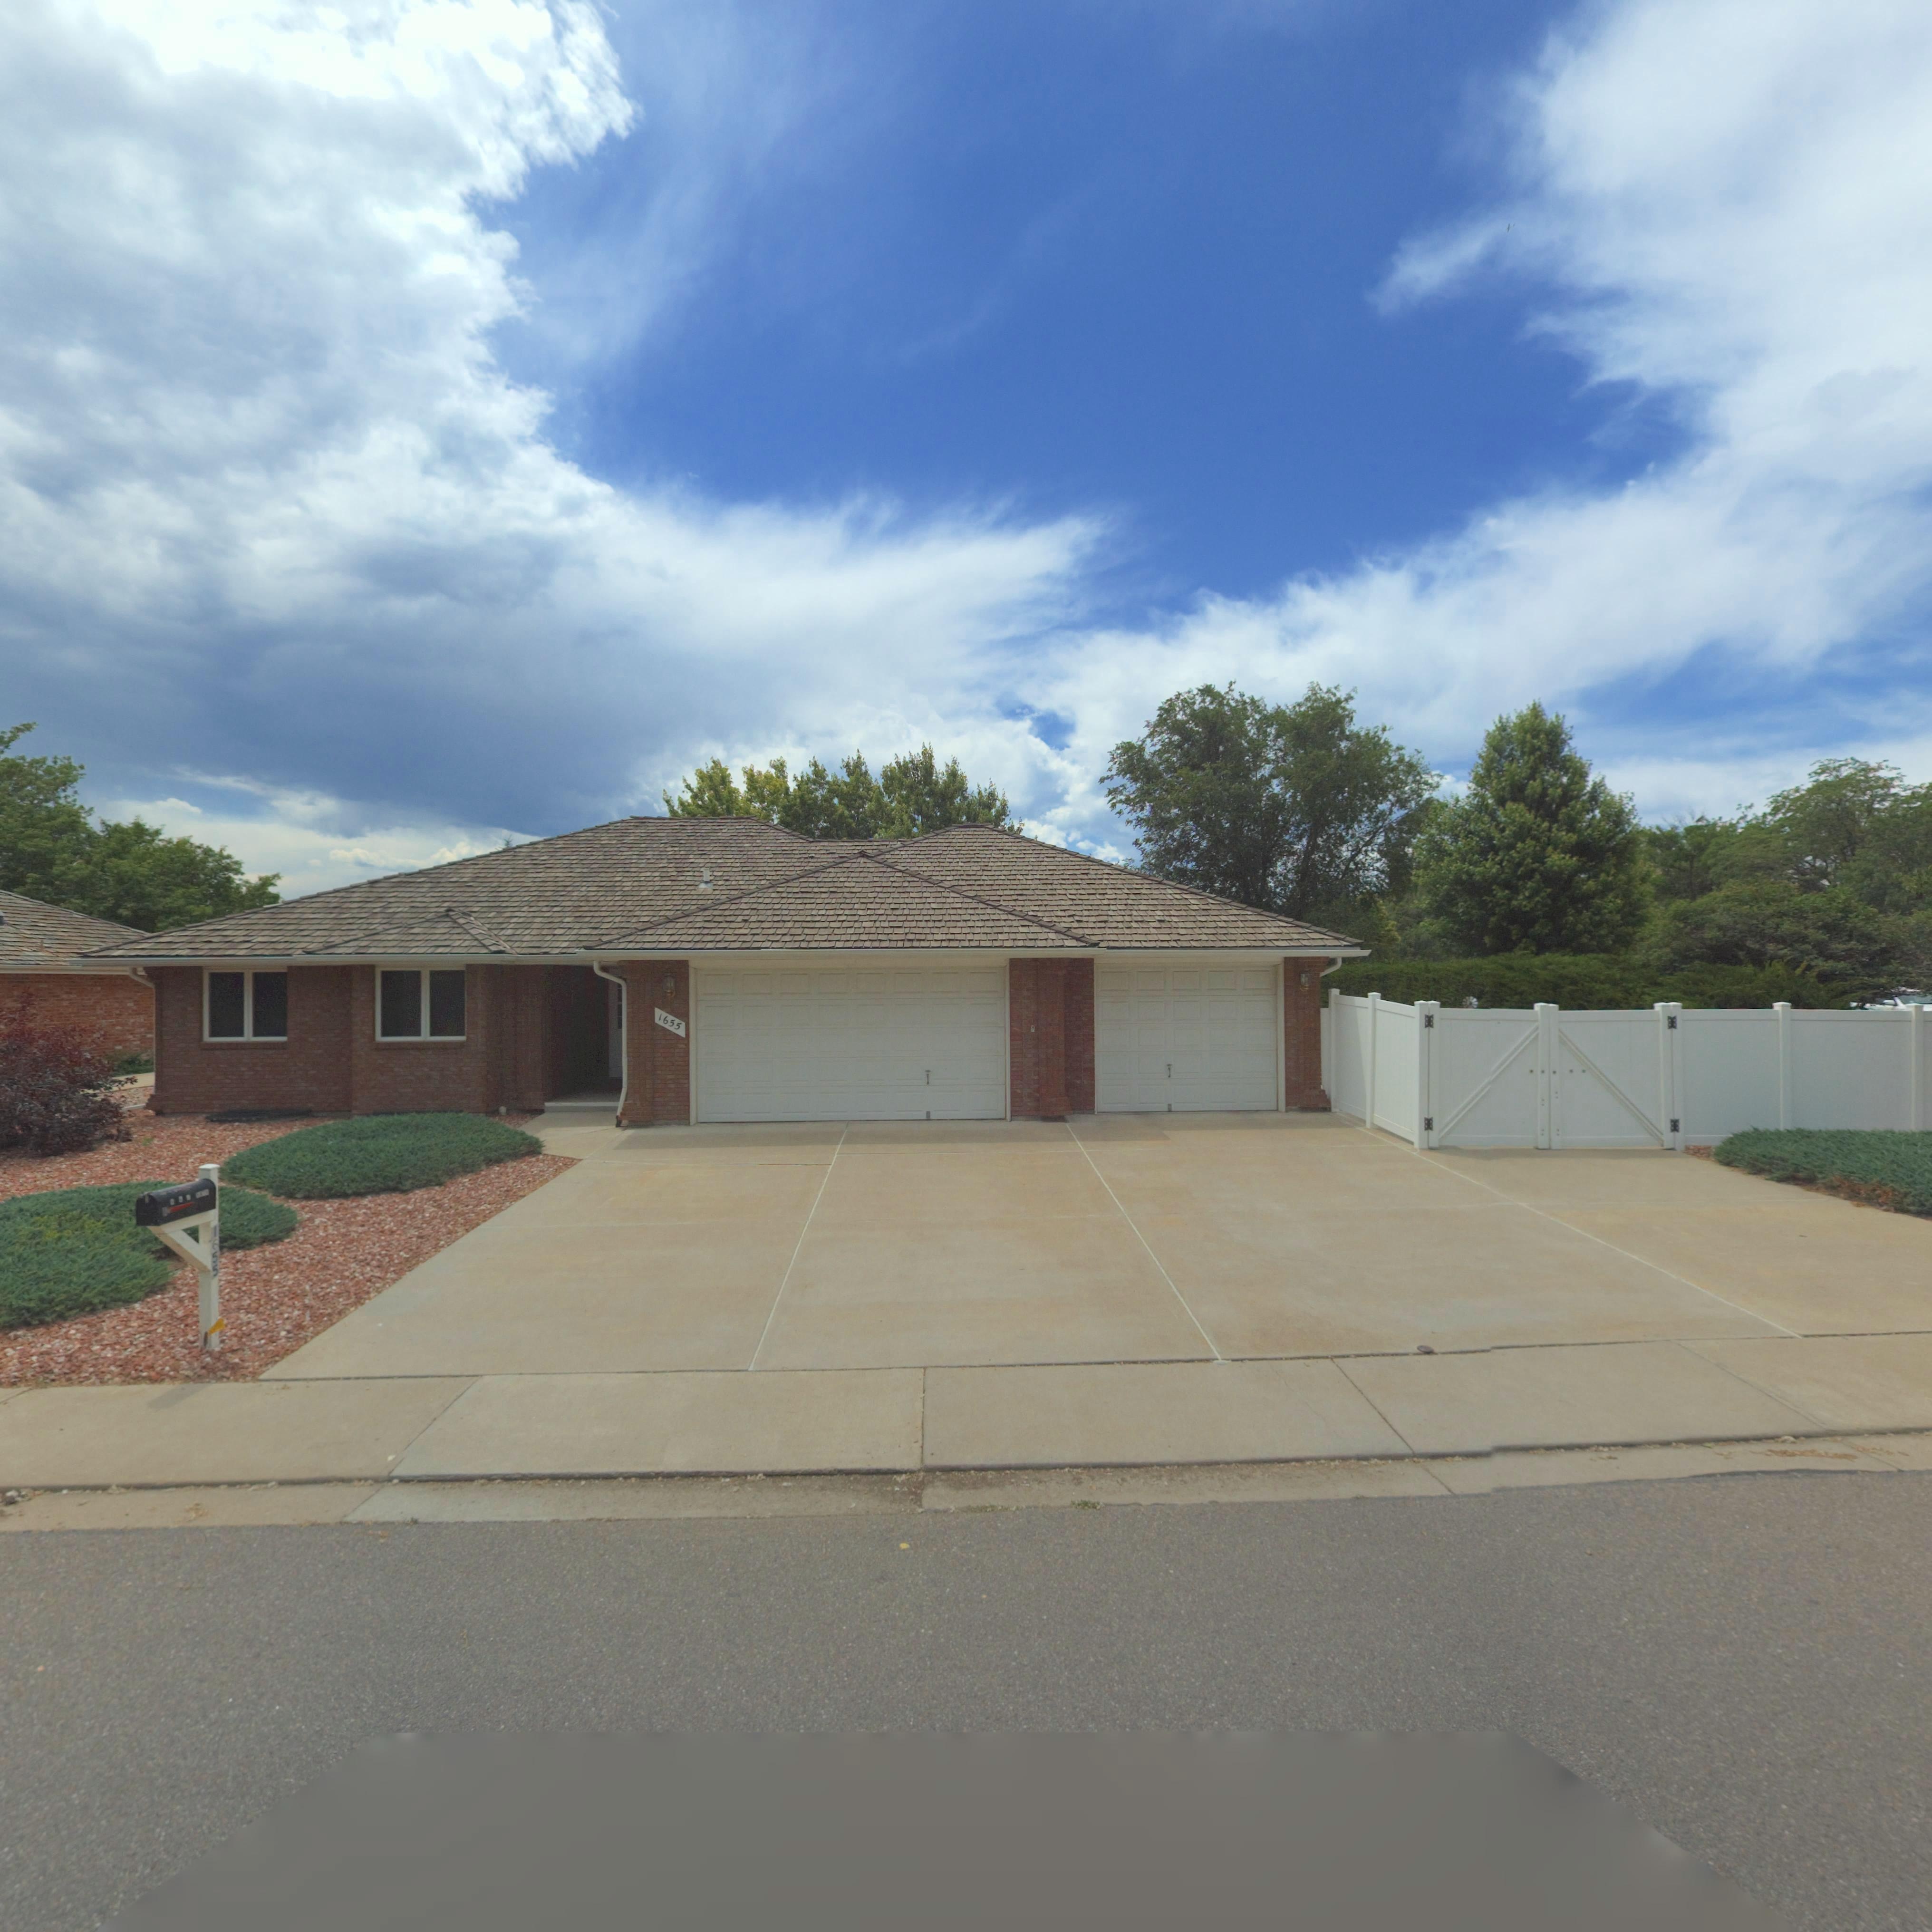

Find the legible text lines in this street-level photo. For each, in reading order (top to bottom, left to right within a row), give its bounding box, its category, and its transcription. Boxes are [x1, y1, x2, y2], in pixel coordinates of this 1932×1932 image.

[658, 1012, 682, 1031] BusinessName: 1655
[211, 1222, 220, 1279] StreetNumber: 1655